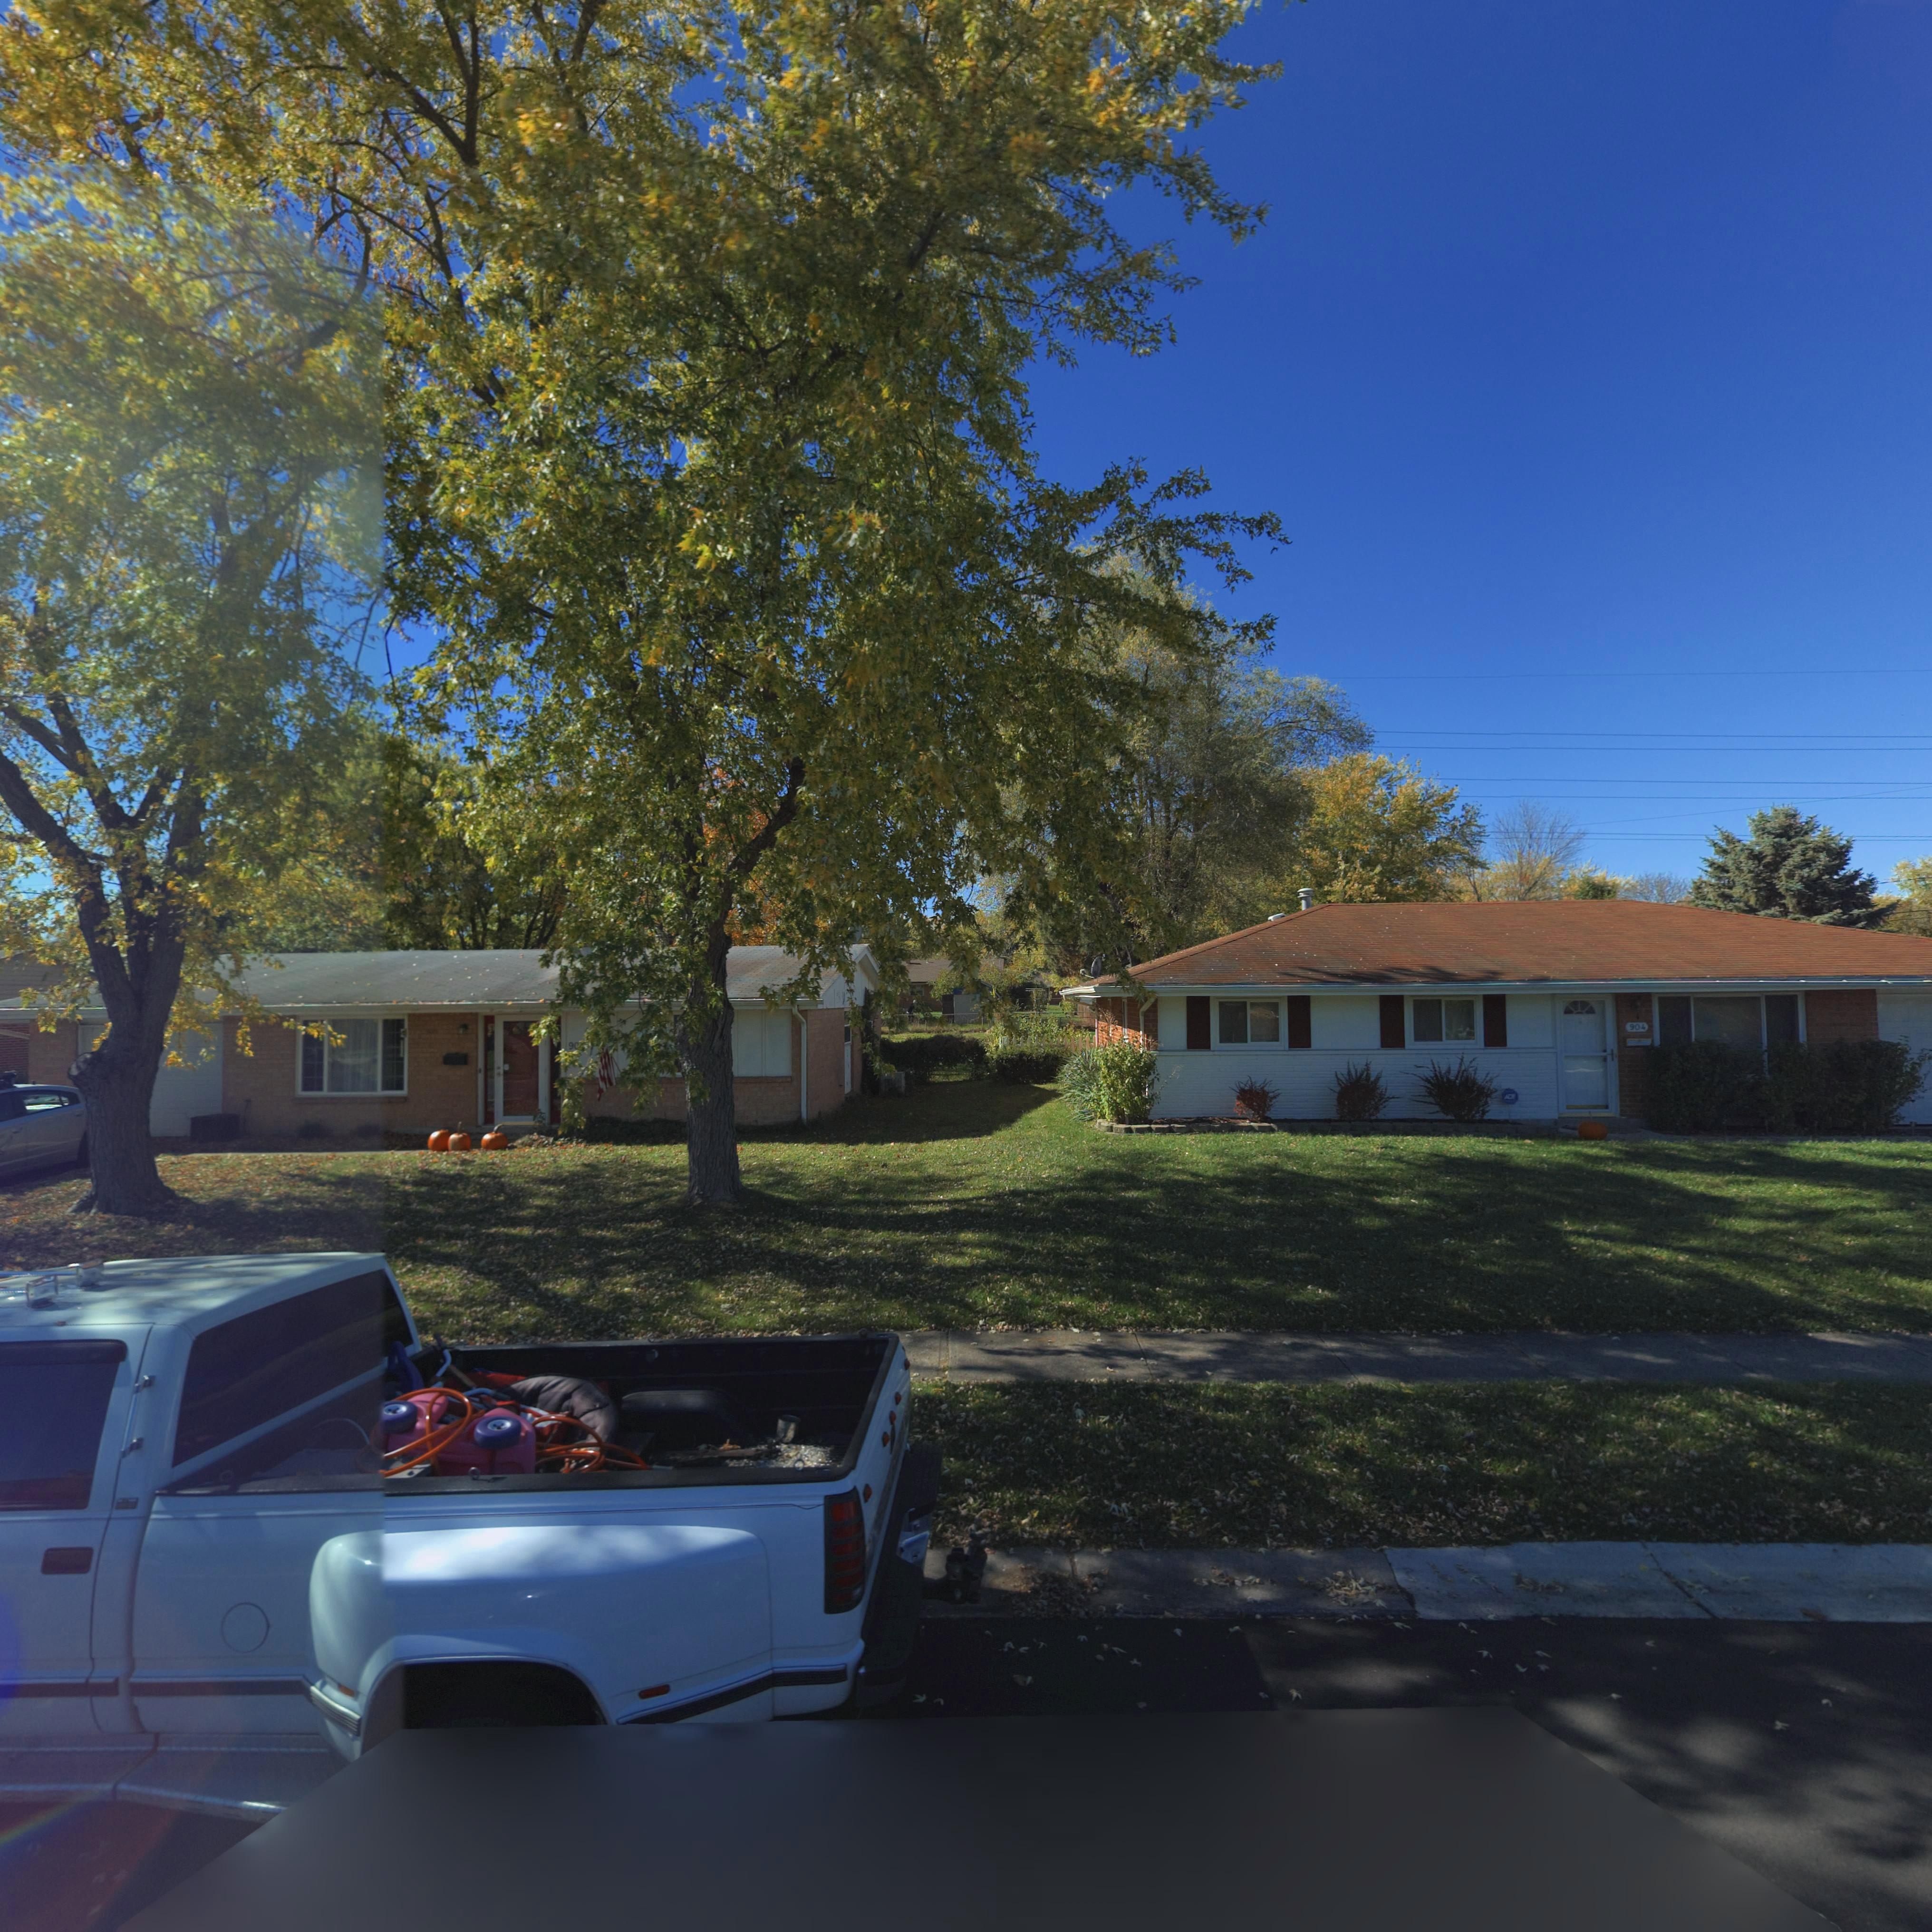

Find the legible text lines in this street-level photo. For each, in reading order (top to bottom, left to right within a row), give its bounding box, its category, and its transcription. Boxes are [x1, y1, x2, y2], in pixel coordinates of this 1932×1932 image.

[1629, 1024, 1646, 1031] StreetNumber: 904
[568, 1041, 574, 1050] StreetNumber: 9